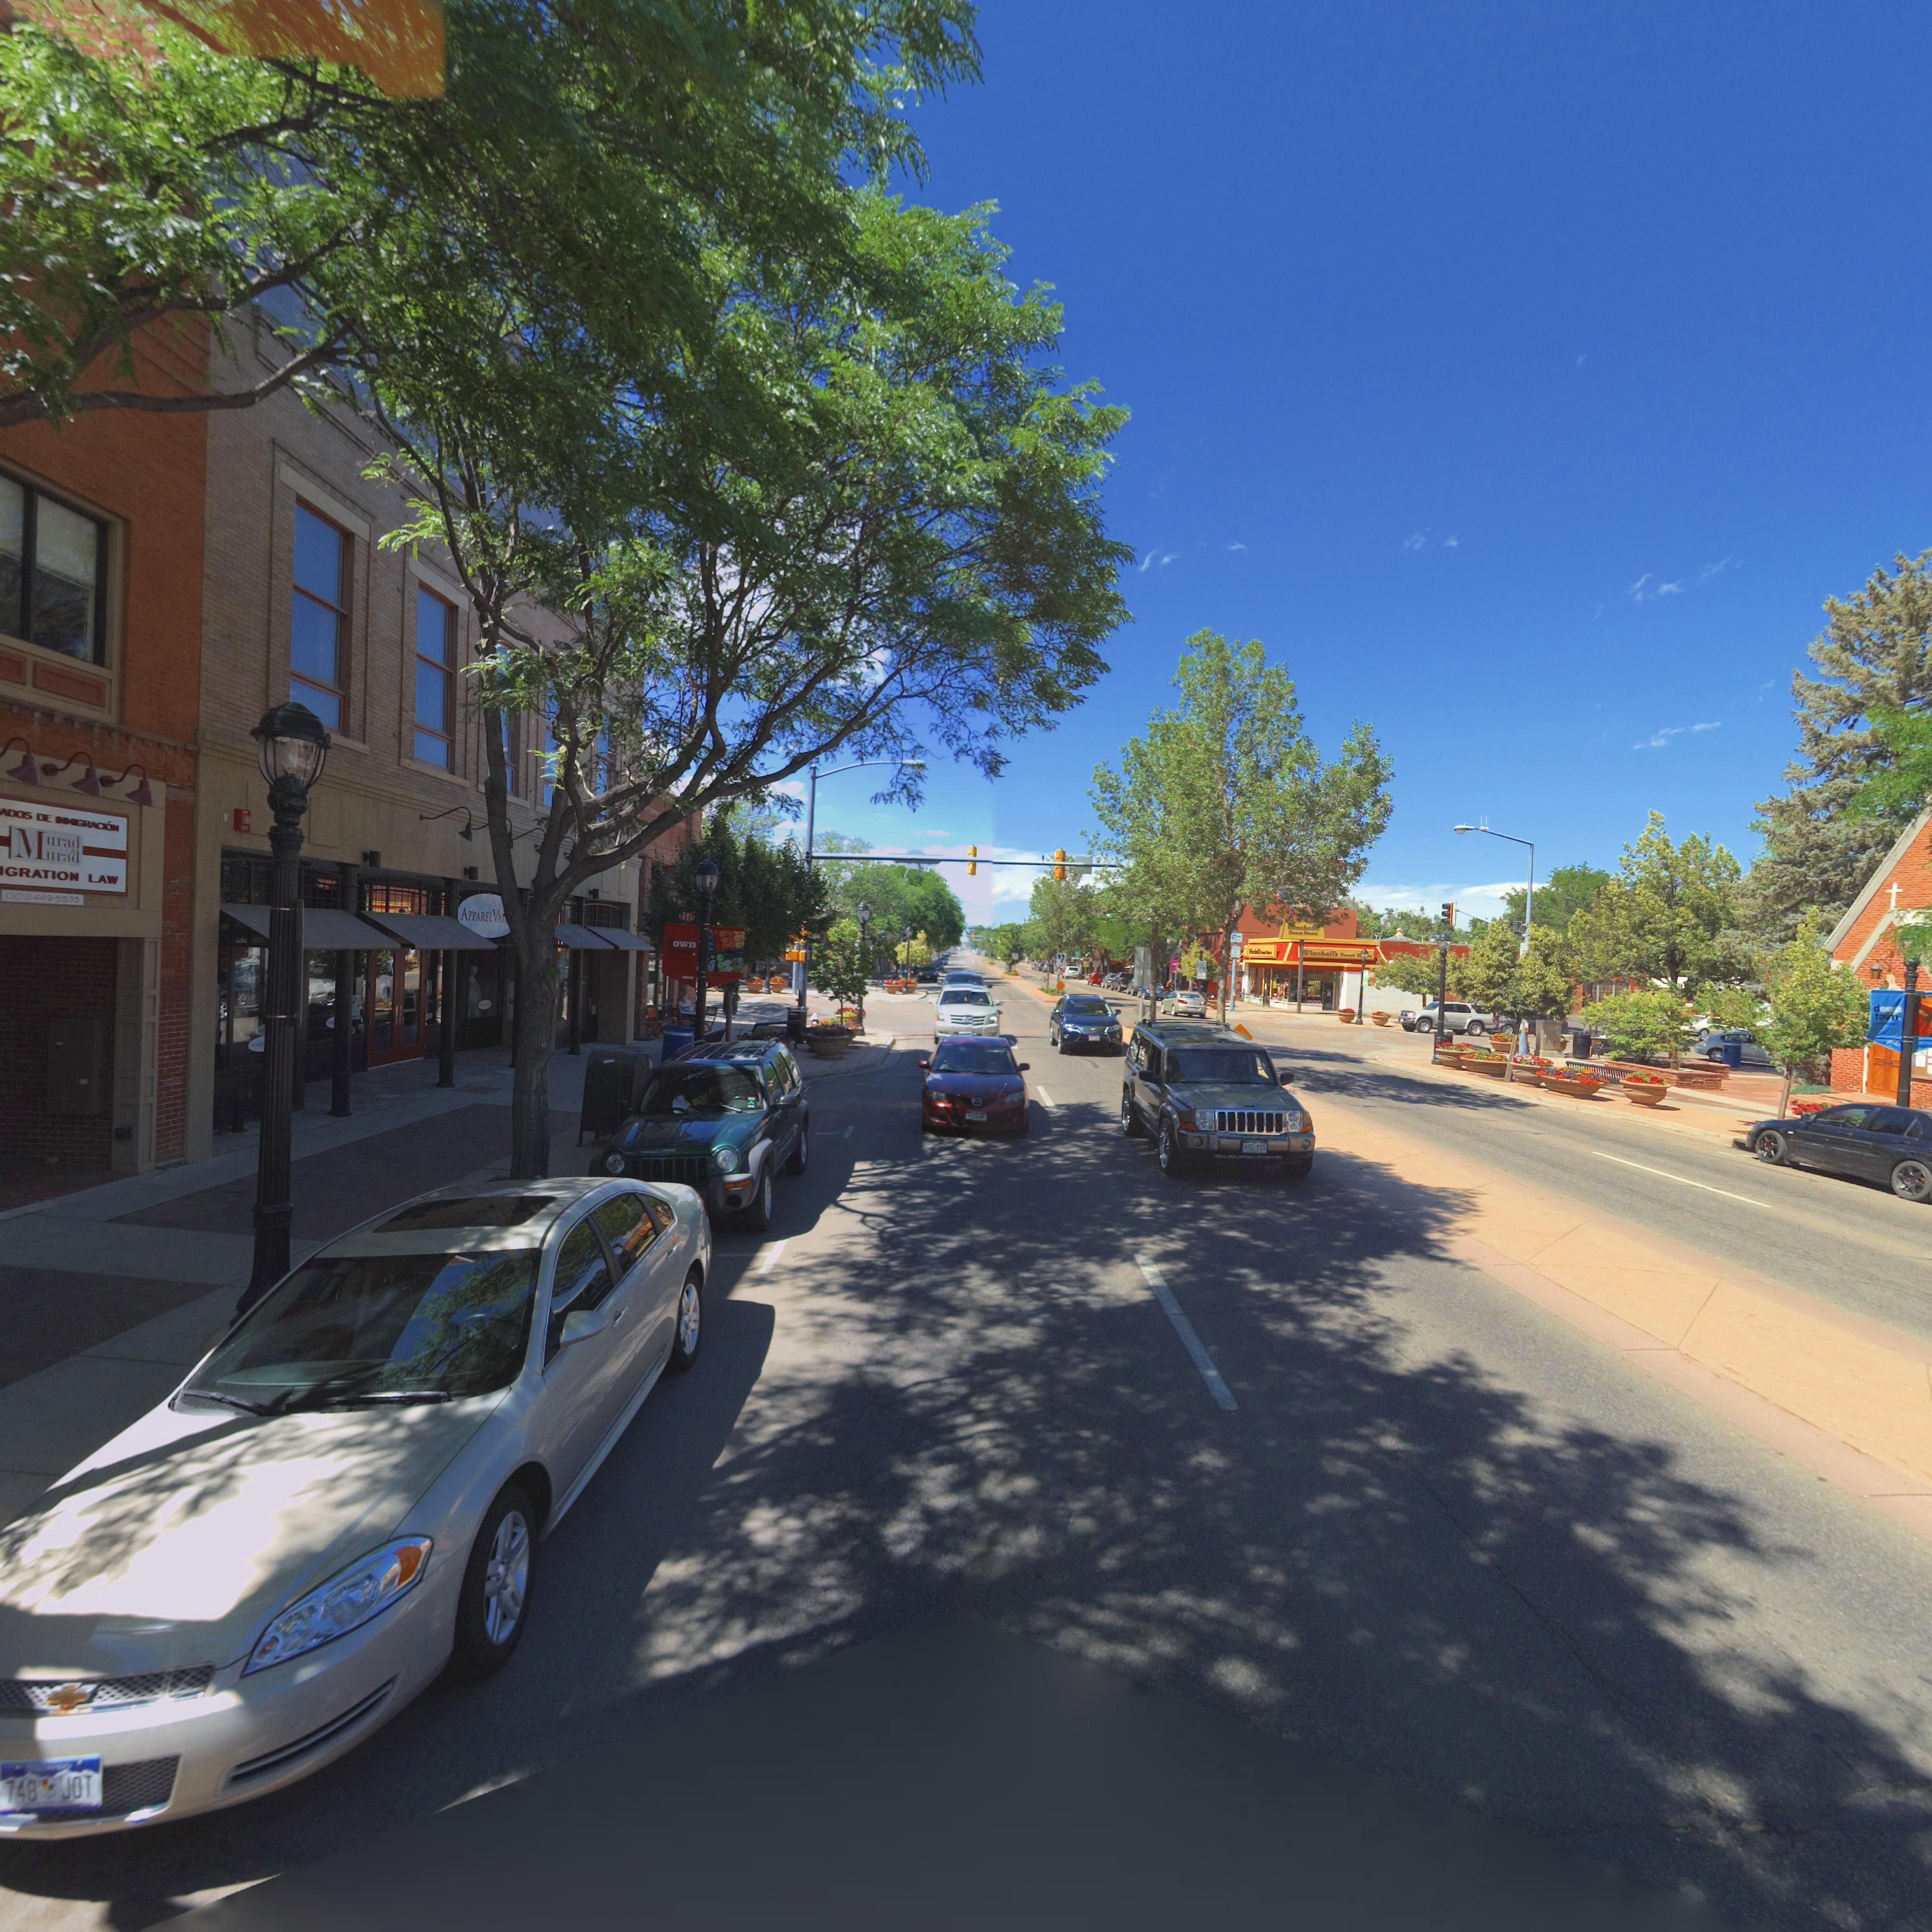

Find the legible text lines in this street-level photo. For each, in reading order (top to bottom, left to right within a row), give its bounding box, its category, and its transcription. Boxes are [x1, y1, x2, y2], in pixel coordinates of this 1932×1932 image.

[7, 809, 119, 832] BusinessName: DOS DE ****GRACI*N
[46, 835, 80, 849] BusinessName: urad
[46, 849, 79, 864] BusinessName: urad
[0, 865, 118, 885] BusinessName: IGRATION LAW
[460, 907, 505, 923] BusinessName: APPAREL VAL
[1287, 924, 1318, 931] BusinessName: ***chel***
[1288, 930, 1318, 936] BusinessName: Do*** H****
[1303, 949, 1355, 957] BusinessName: Winch*l** Do**